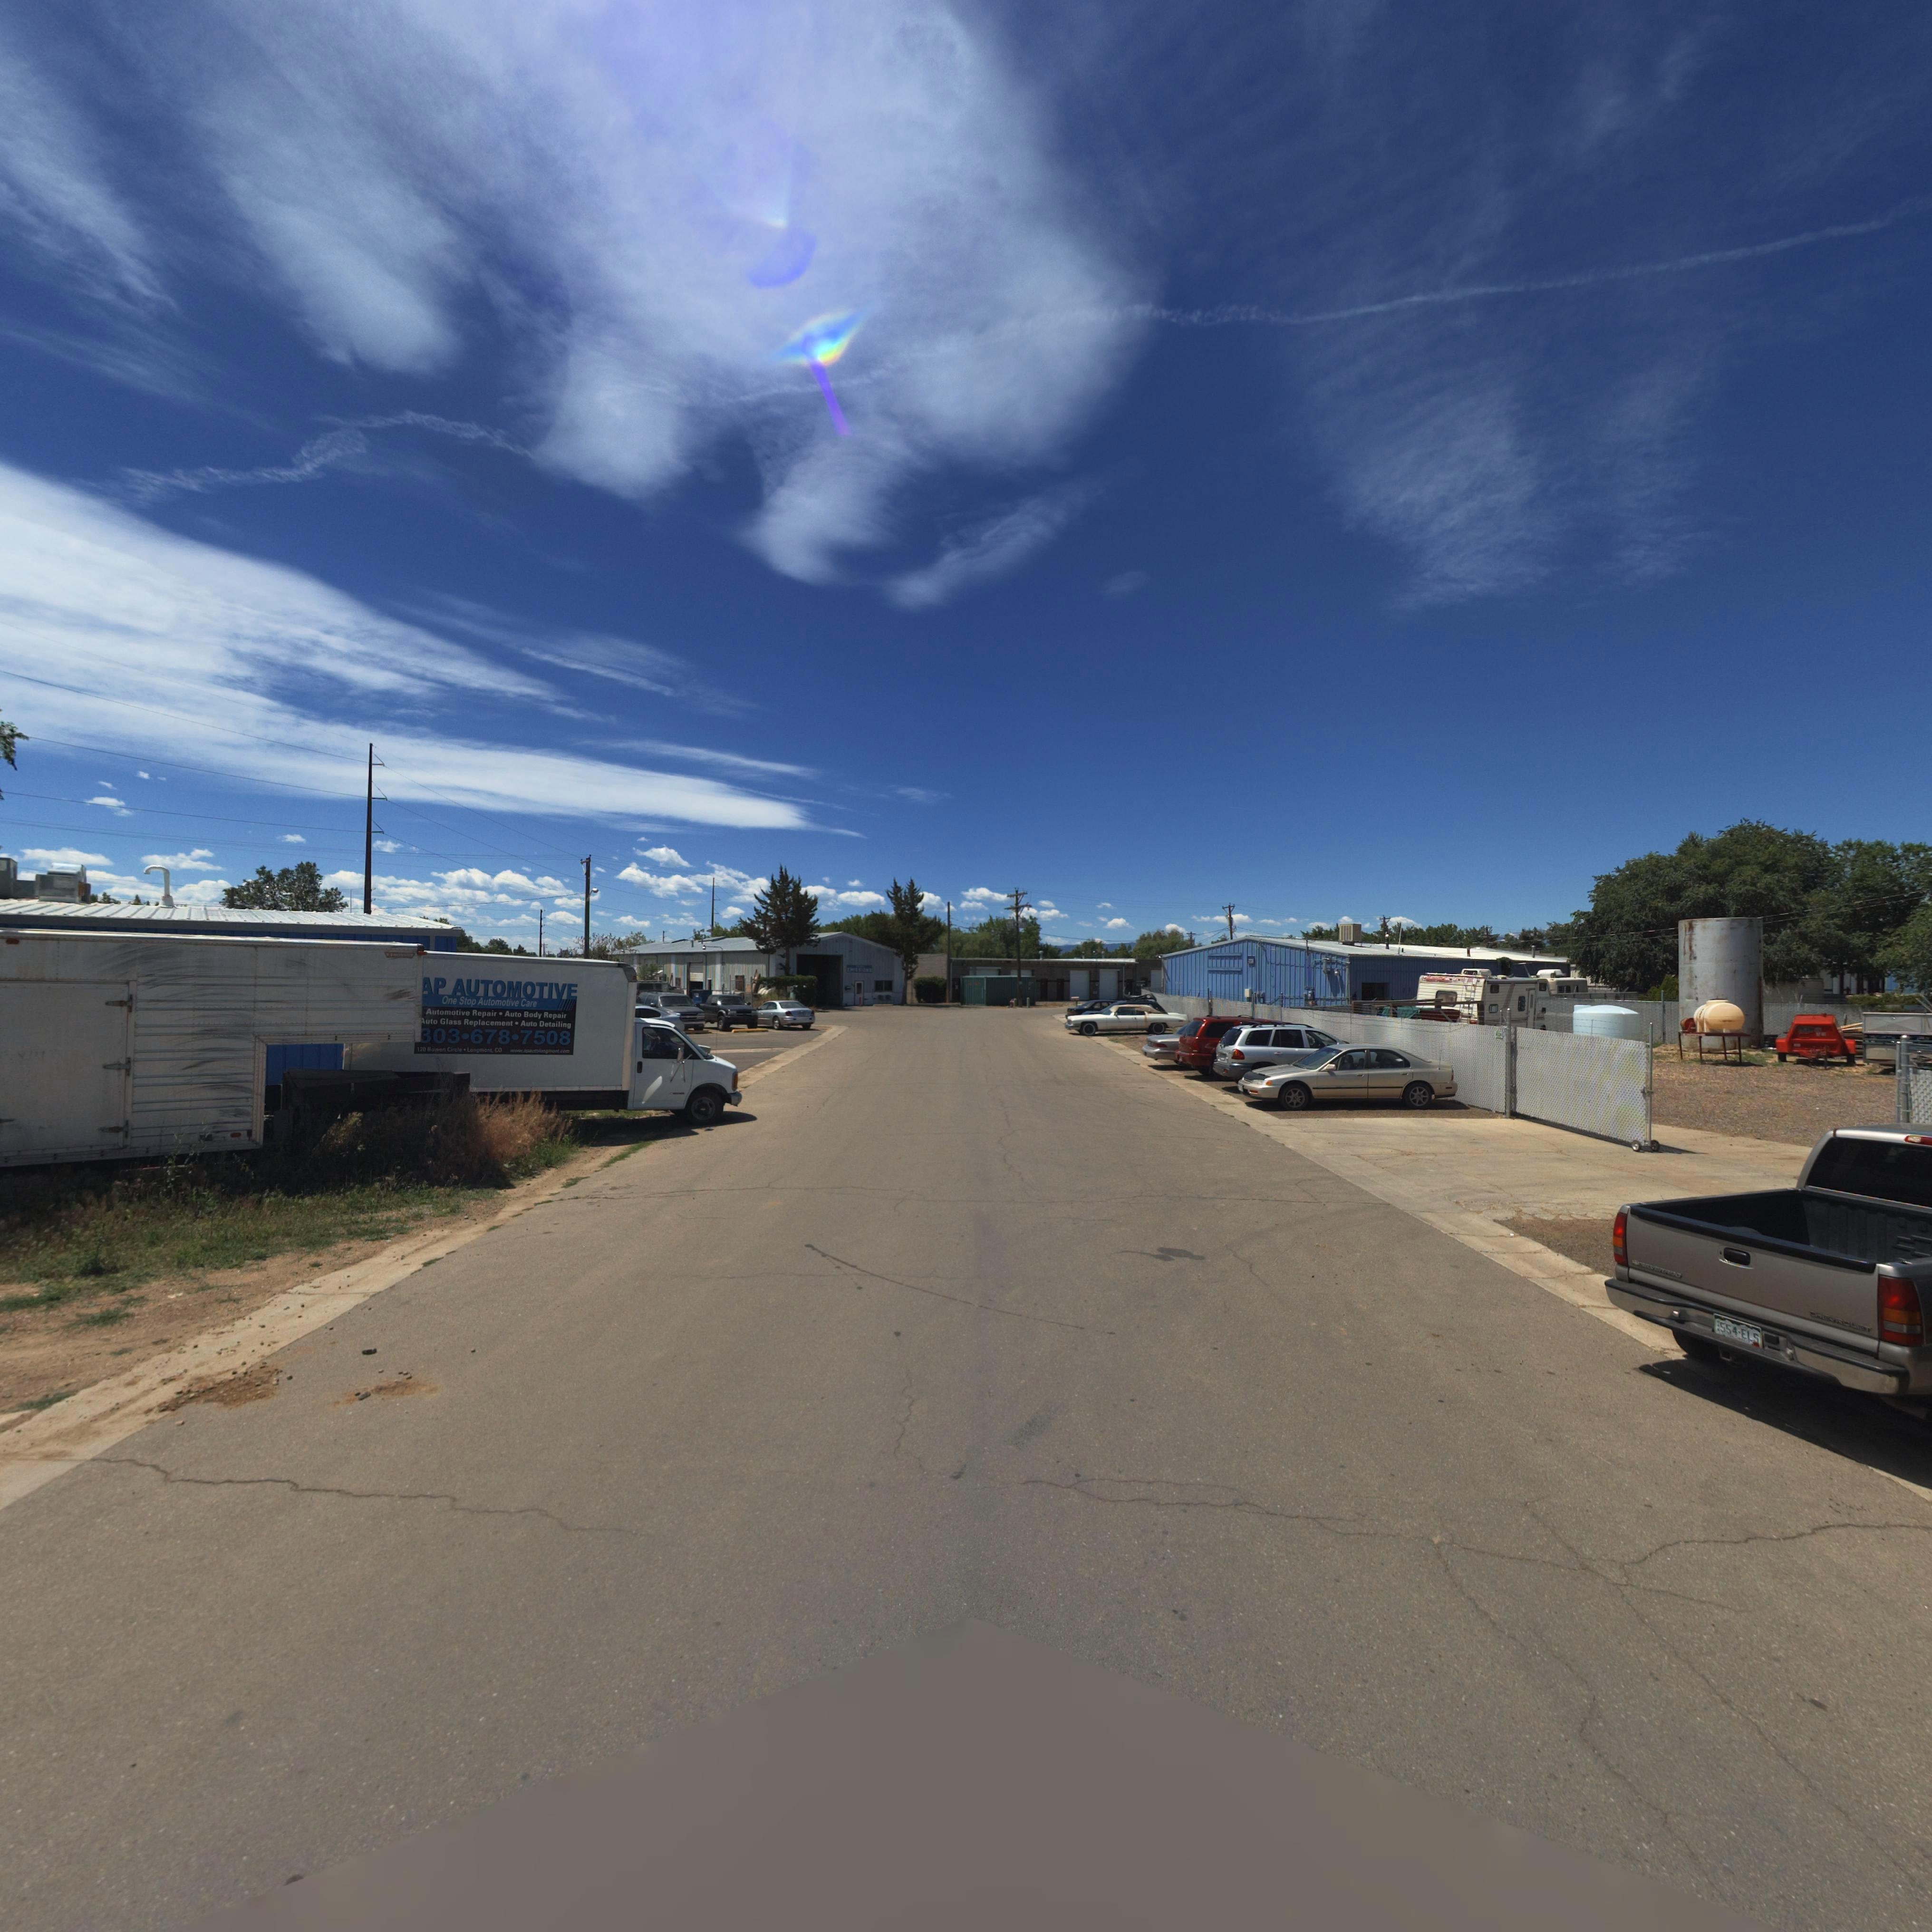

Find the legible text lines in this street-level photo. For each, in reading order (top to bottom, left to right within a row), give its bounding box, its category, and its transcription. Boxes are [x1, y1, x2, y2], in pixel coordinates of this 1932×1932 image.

[847, 967, 872, 972] BusinessName: EMISSIONS